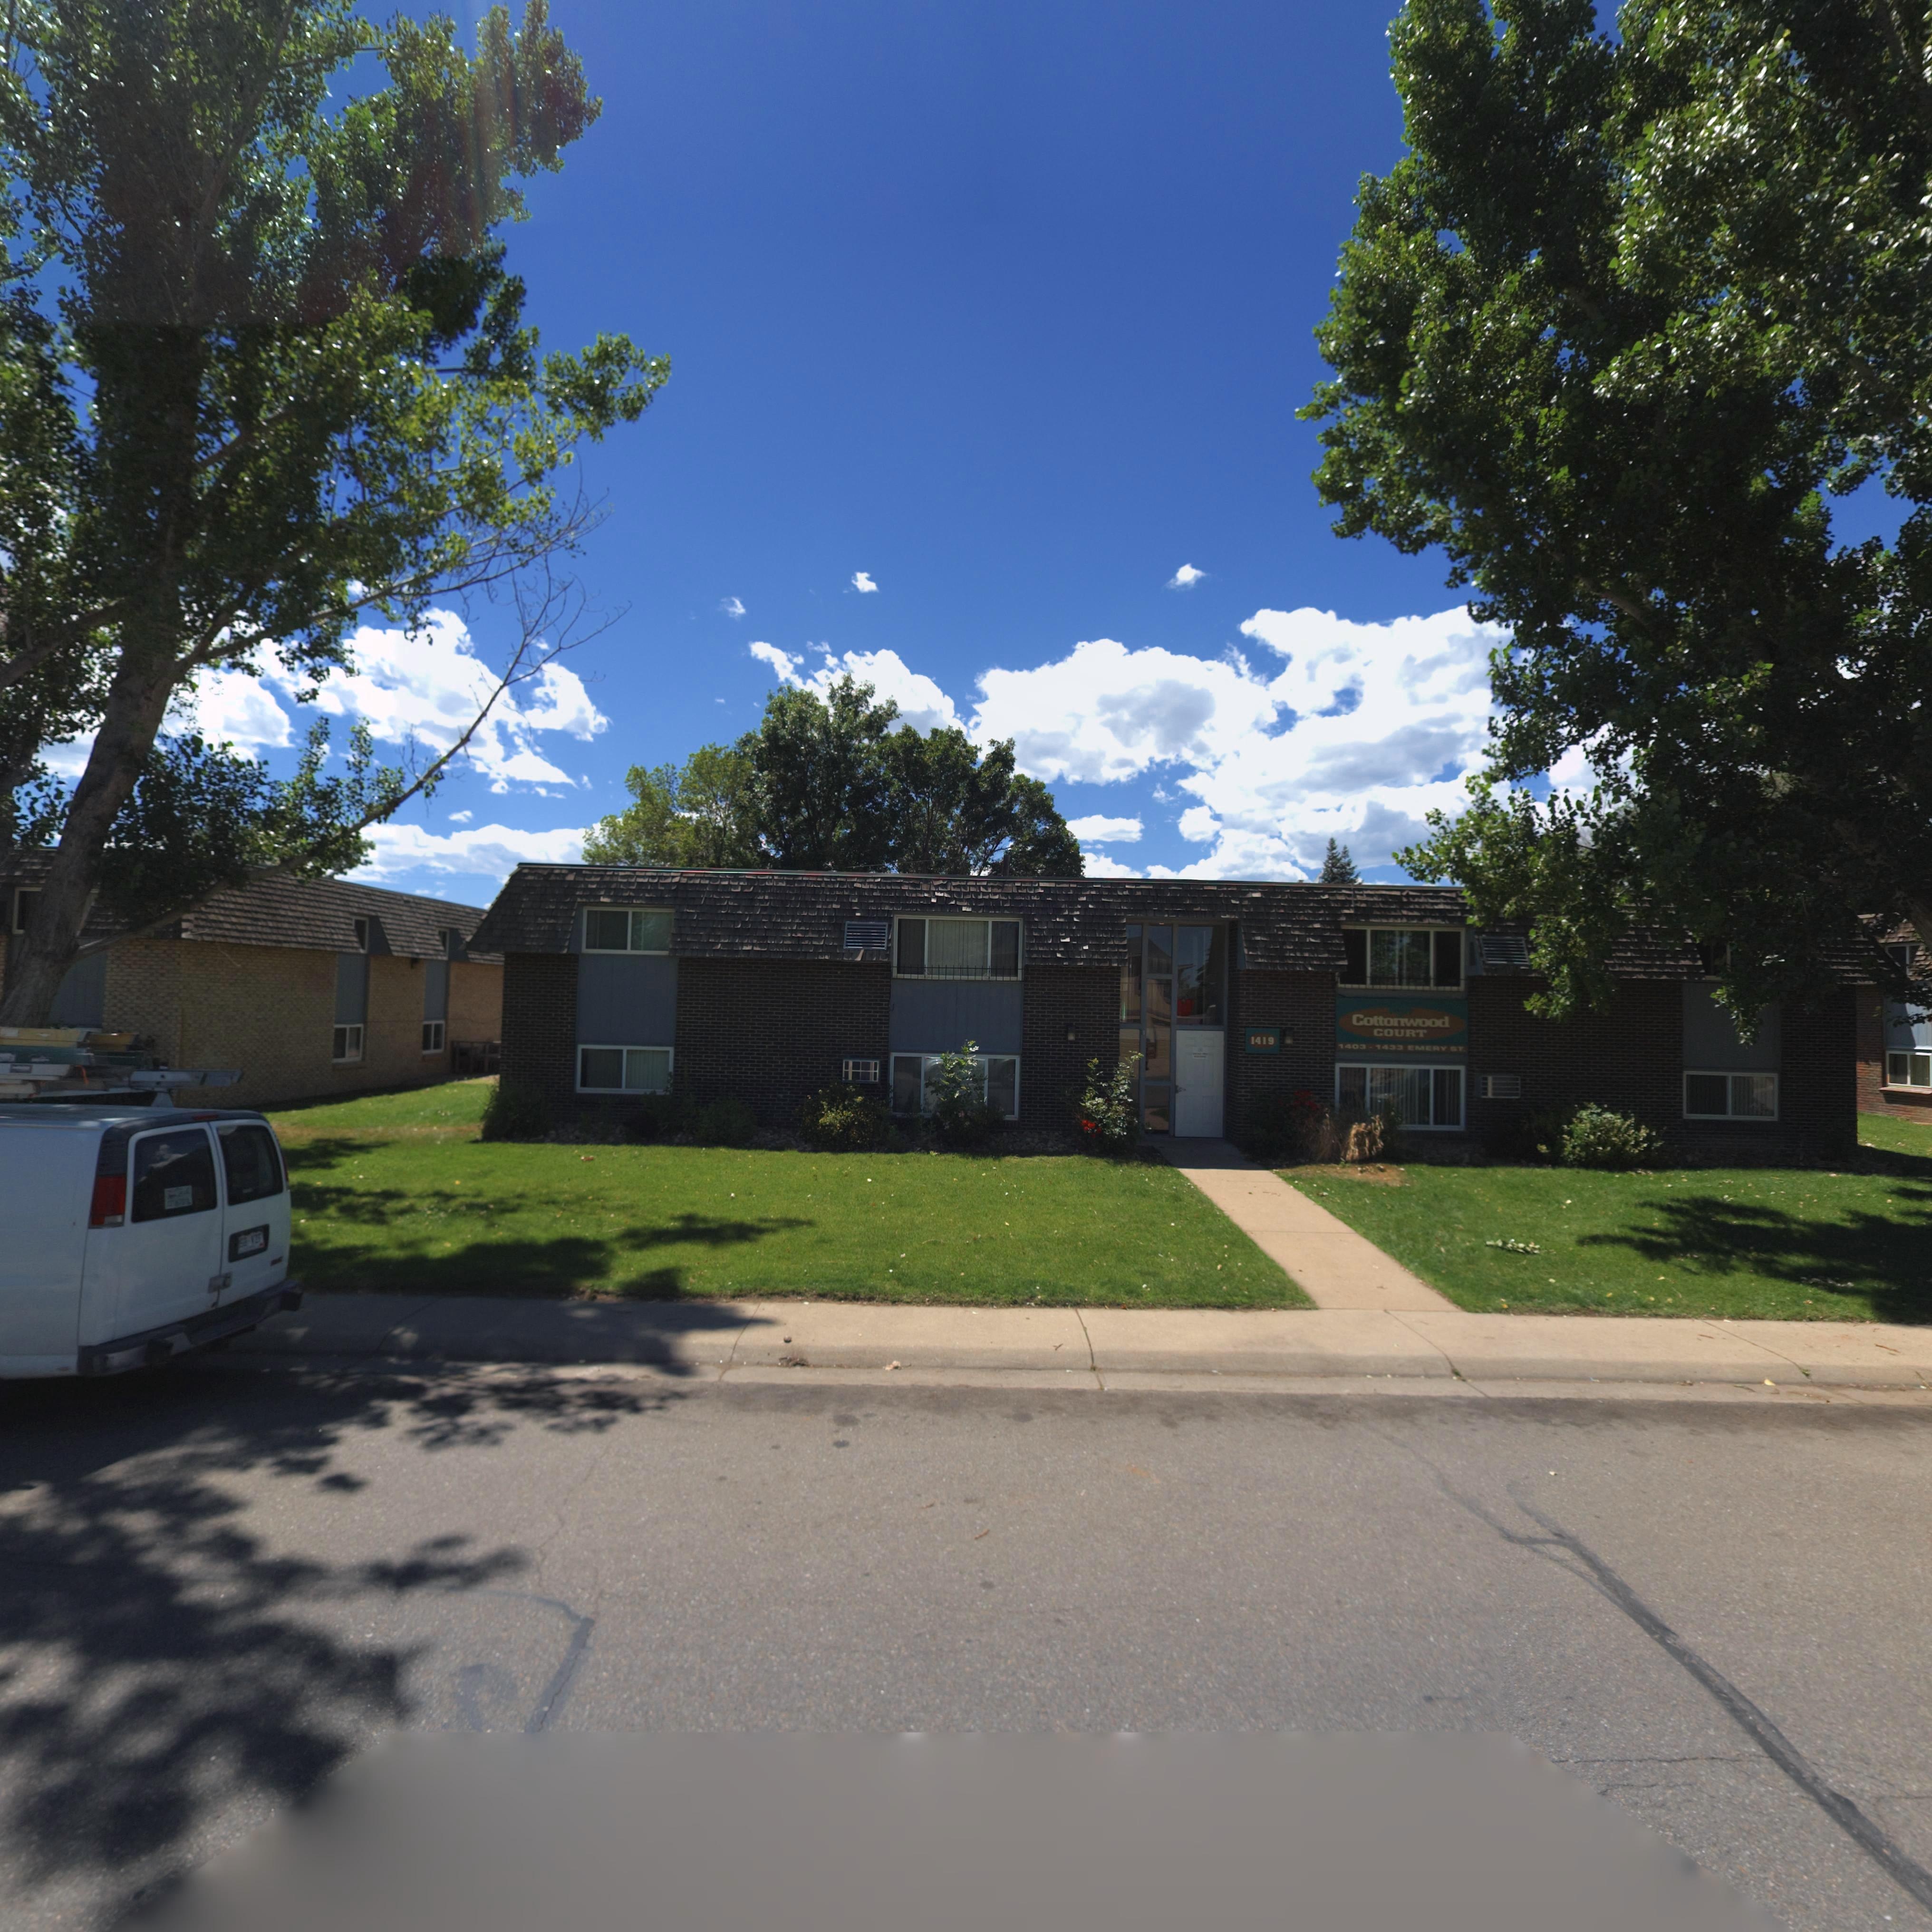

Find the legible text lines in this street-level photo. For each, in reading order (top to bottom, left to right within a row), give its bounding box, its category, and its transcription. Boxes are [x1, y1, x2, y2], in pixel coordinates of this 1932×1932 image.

[1352, 1013, 1450, 1028] BusinessName: Cottonwood
[1372, 1028, 1427, 1037] BusinessName: COURT
[1250, 1035, 1275, 1045] StreetNumber: 1419
[1338, 1043, 1366, 1050] StreetNumber: 1403
[1375, 1043, 1403, 1051] StreetNumber: 1433
[1407, 1044, 1466, 1052] StreetName: EMERY ST.